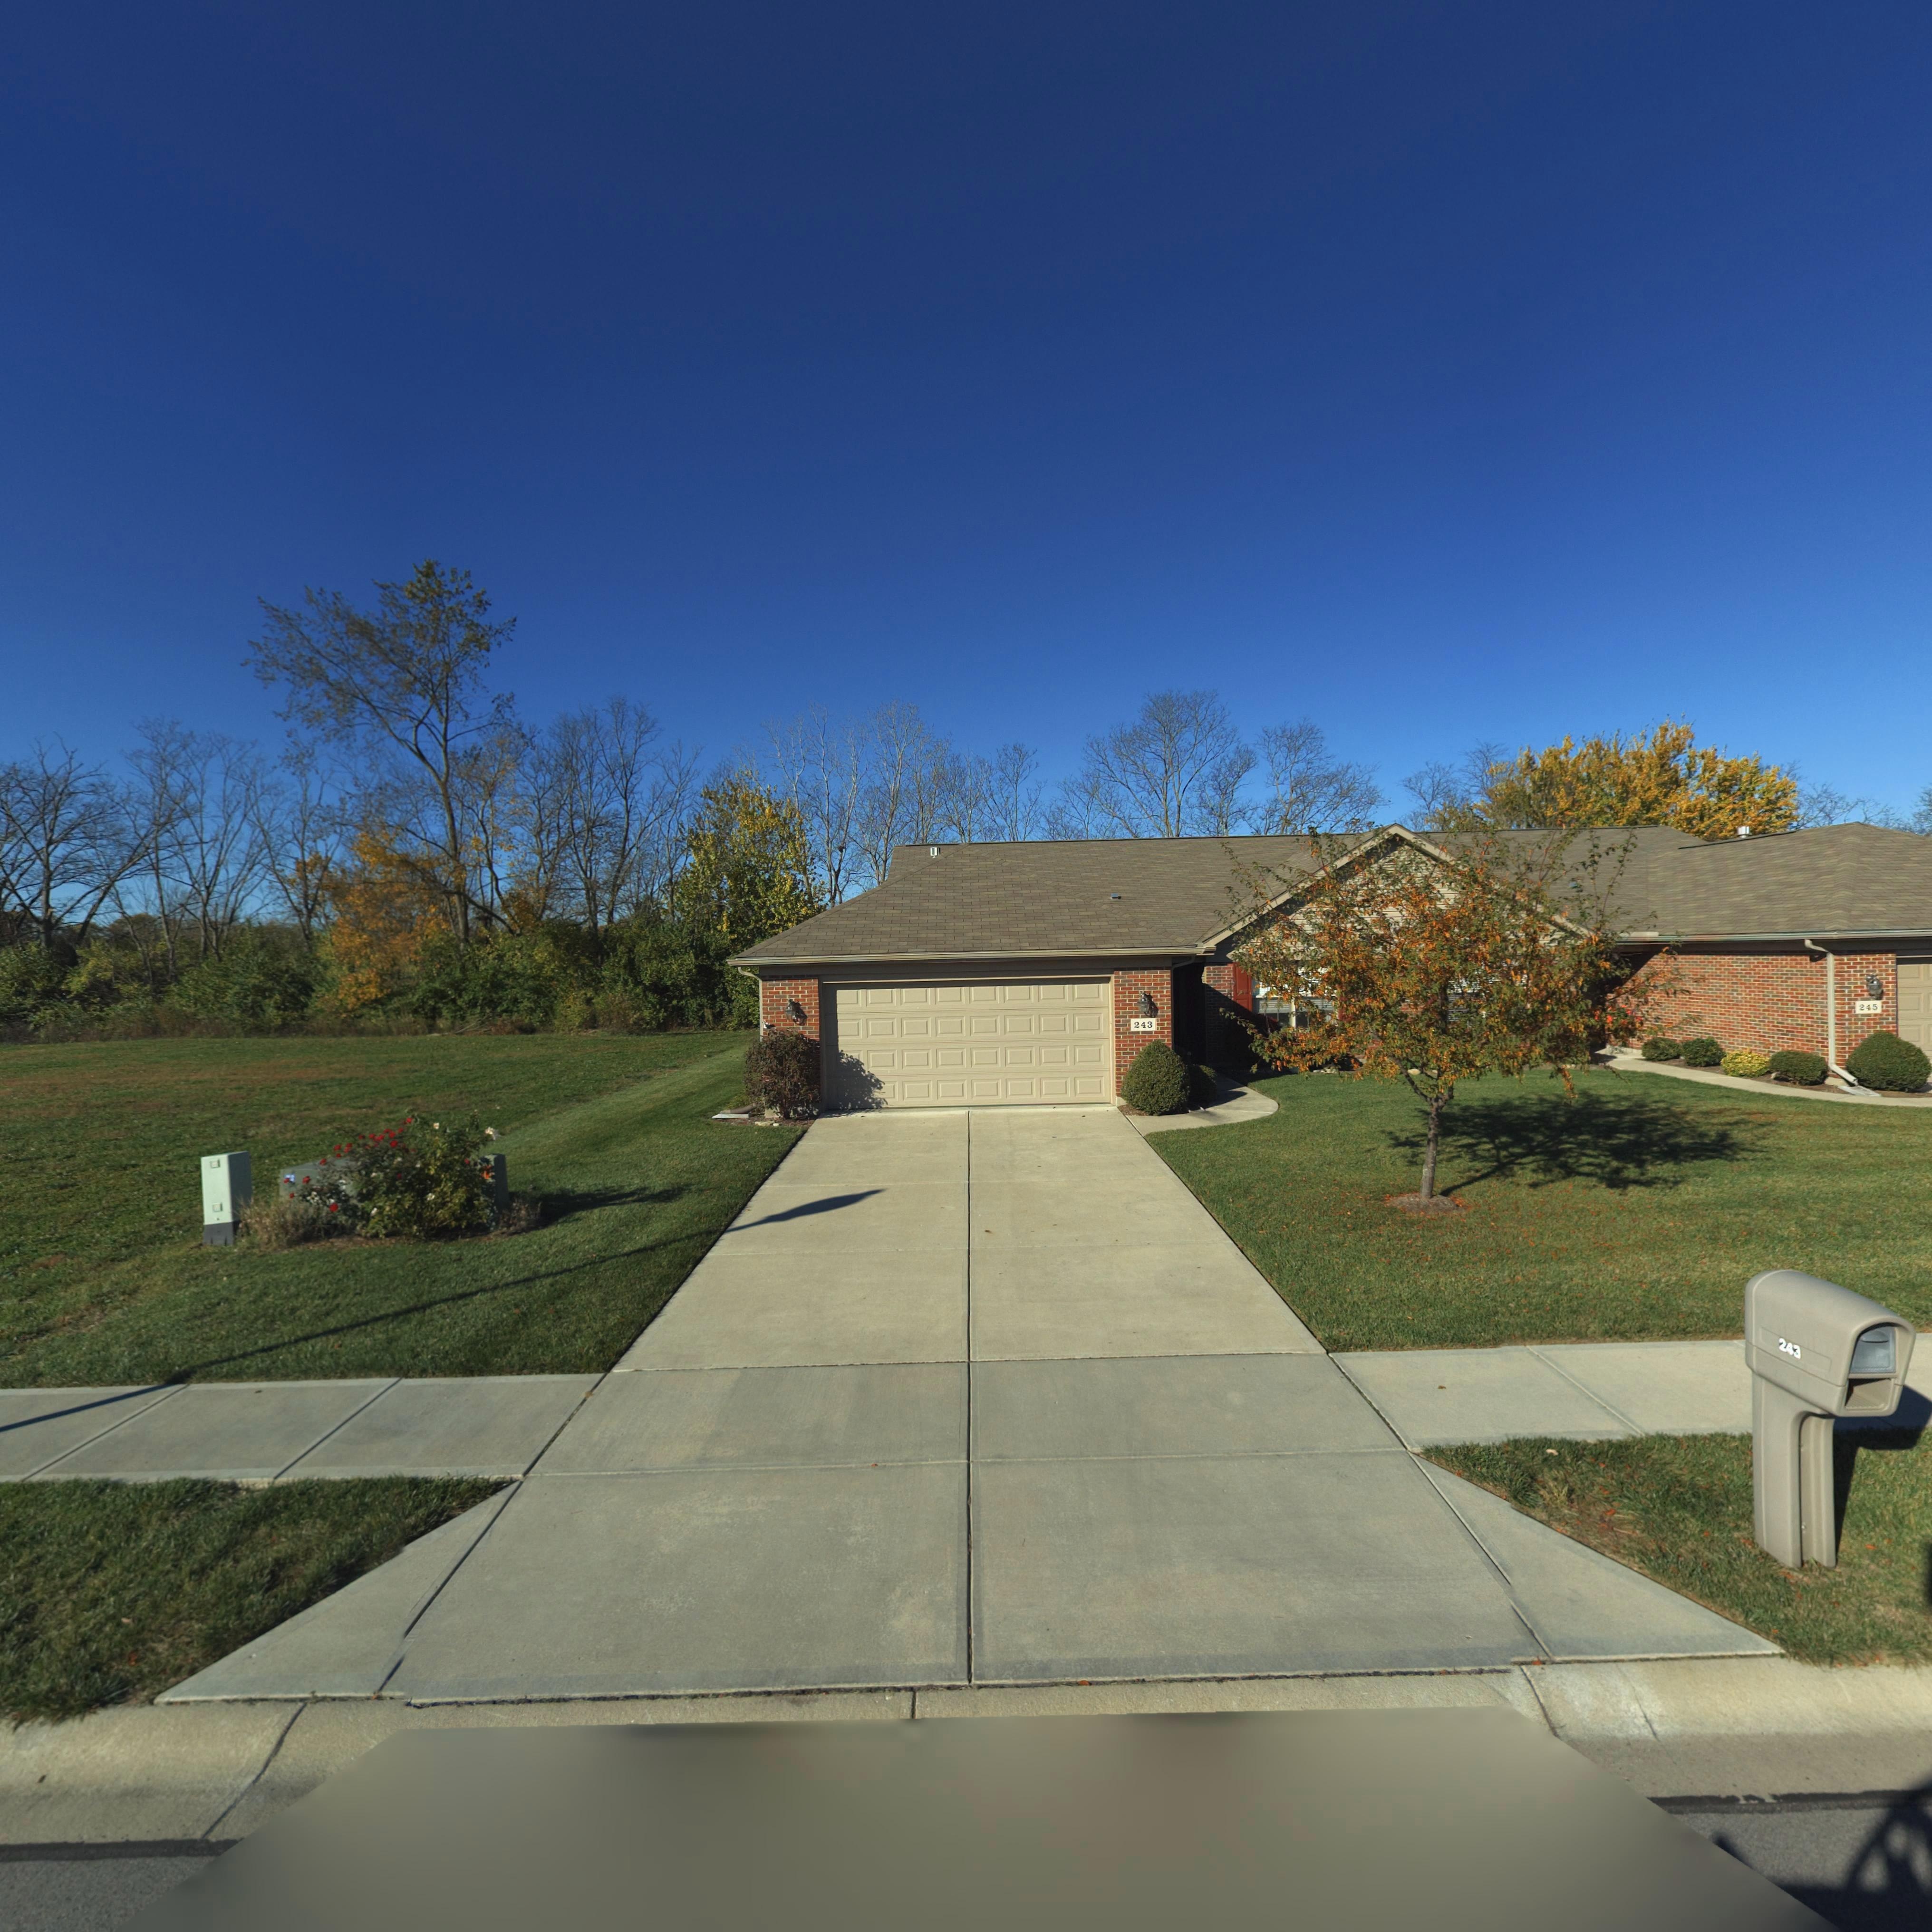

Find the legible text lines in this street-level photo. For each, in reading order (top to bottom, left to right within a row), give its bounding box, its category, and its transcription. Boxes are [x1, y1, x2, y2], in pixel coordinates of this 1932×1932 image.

[1858, 1003, 1879, 1012] StreetNumber: 245
[1133, 1021, 1153, 1029] StreetNumber: 243
[1777, 1336, 1802, 1361] StreetNumber: 243